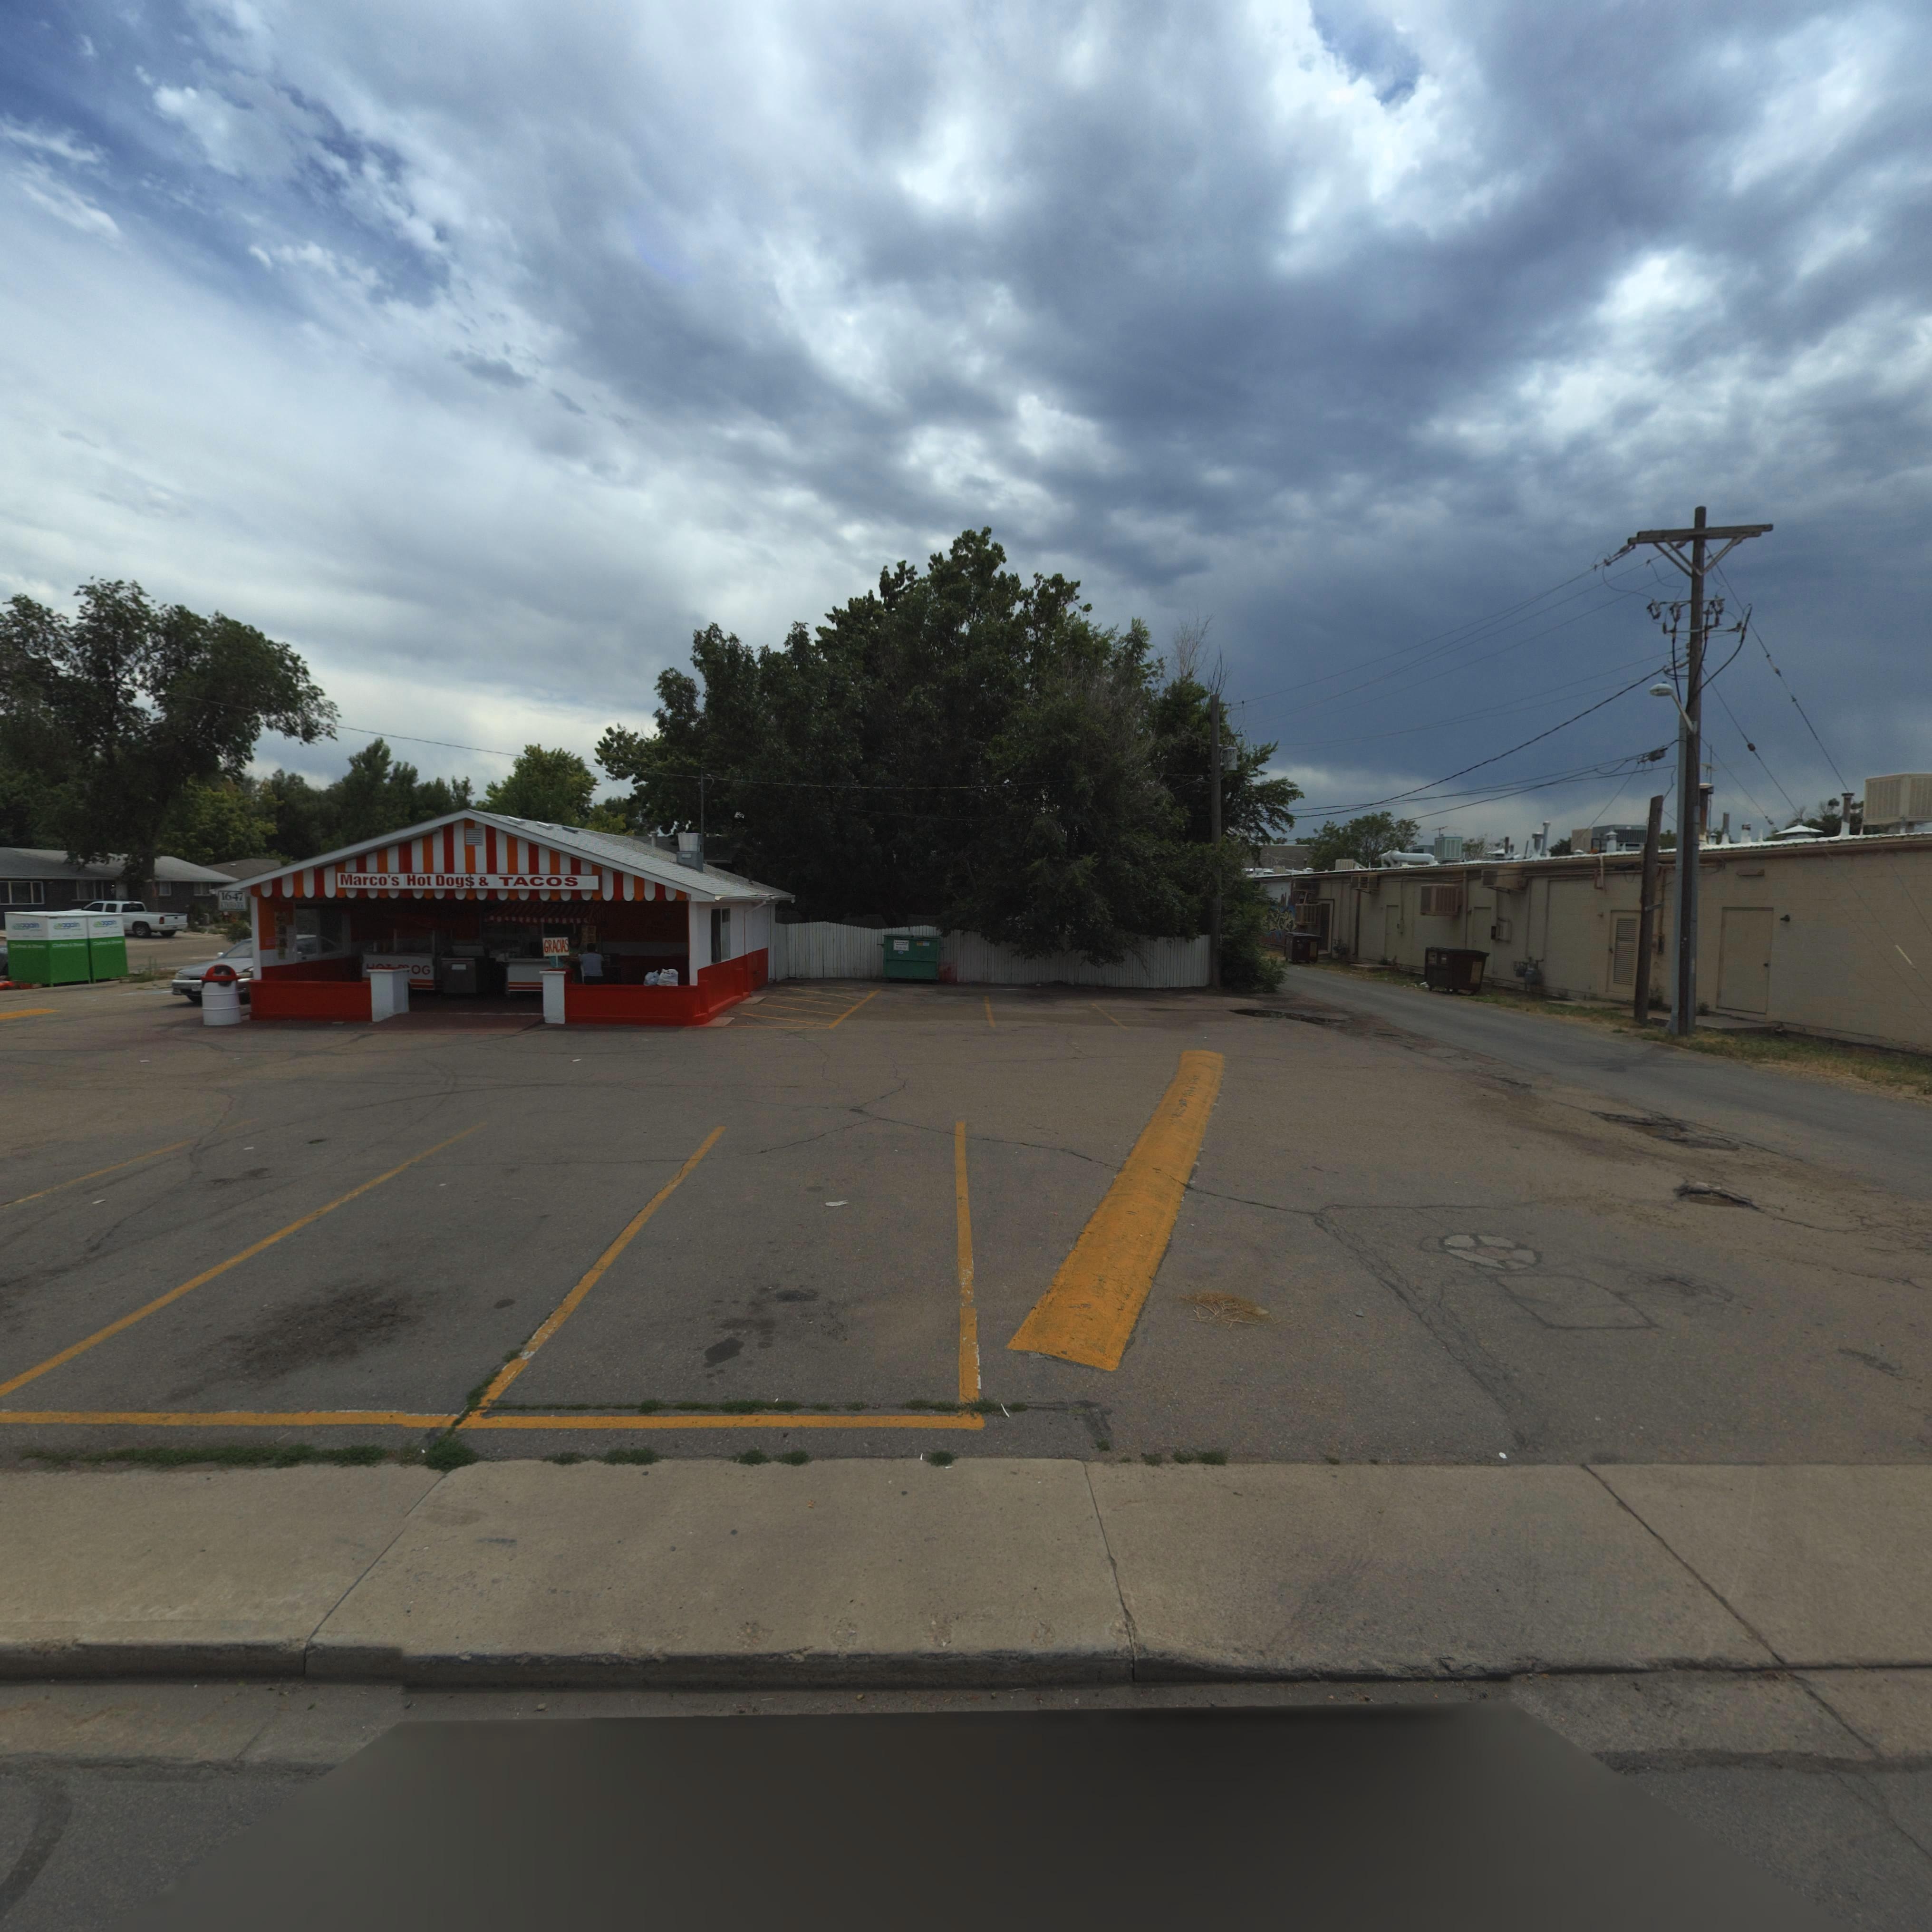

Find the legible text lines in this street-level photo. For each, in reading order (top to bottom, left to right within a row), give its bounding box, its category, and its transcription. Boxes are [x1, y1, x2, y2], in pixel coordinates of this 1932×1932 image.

[339, 873, 579, 888] BusinessName: Marco's Hot Dogs & TACOS
[220, 891, 244, 902] StreetNumber: 1647